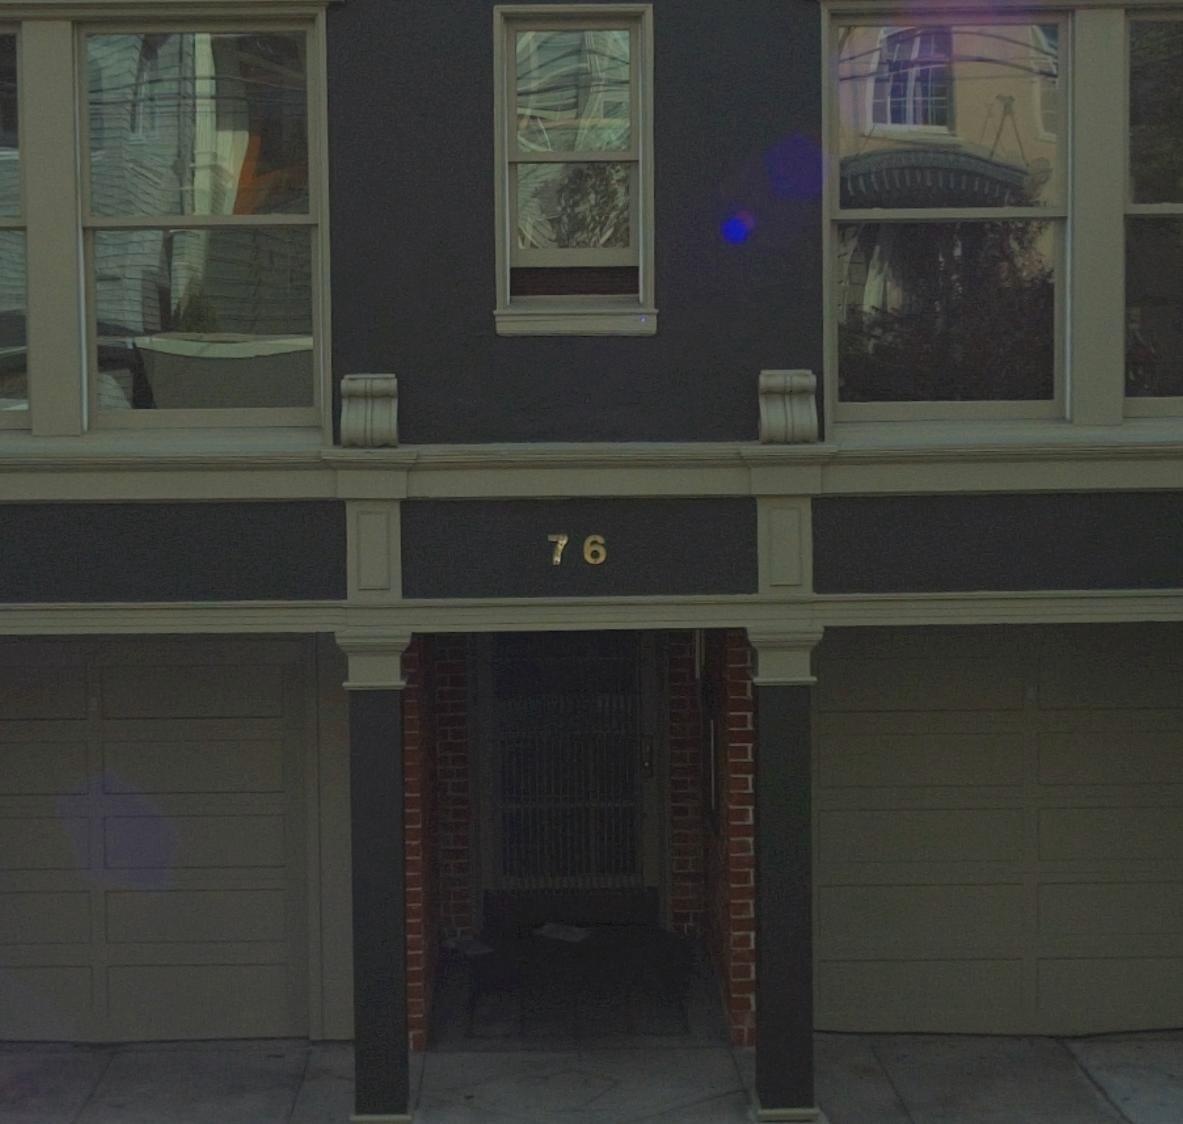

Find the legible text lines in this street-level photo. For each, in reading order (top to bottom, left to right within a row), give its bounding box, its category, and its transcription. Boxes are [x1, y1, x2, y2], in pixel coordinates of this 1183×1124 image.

[545, 532, 609, 567] StreetNumber: 76